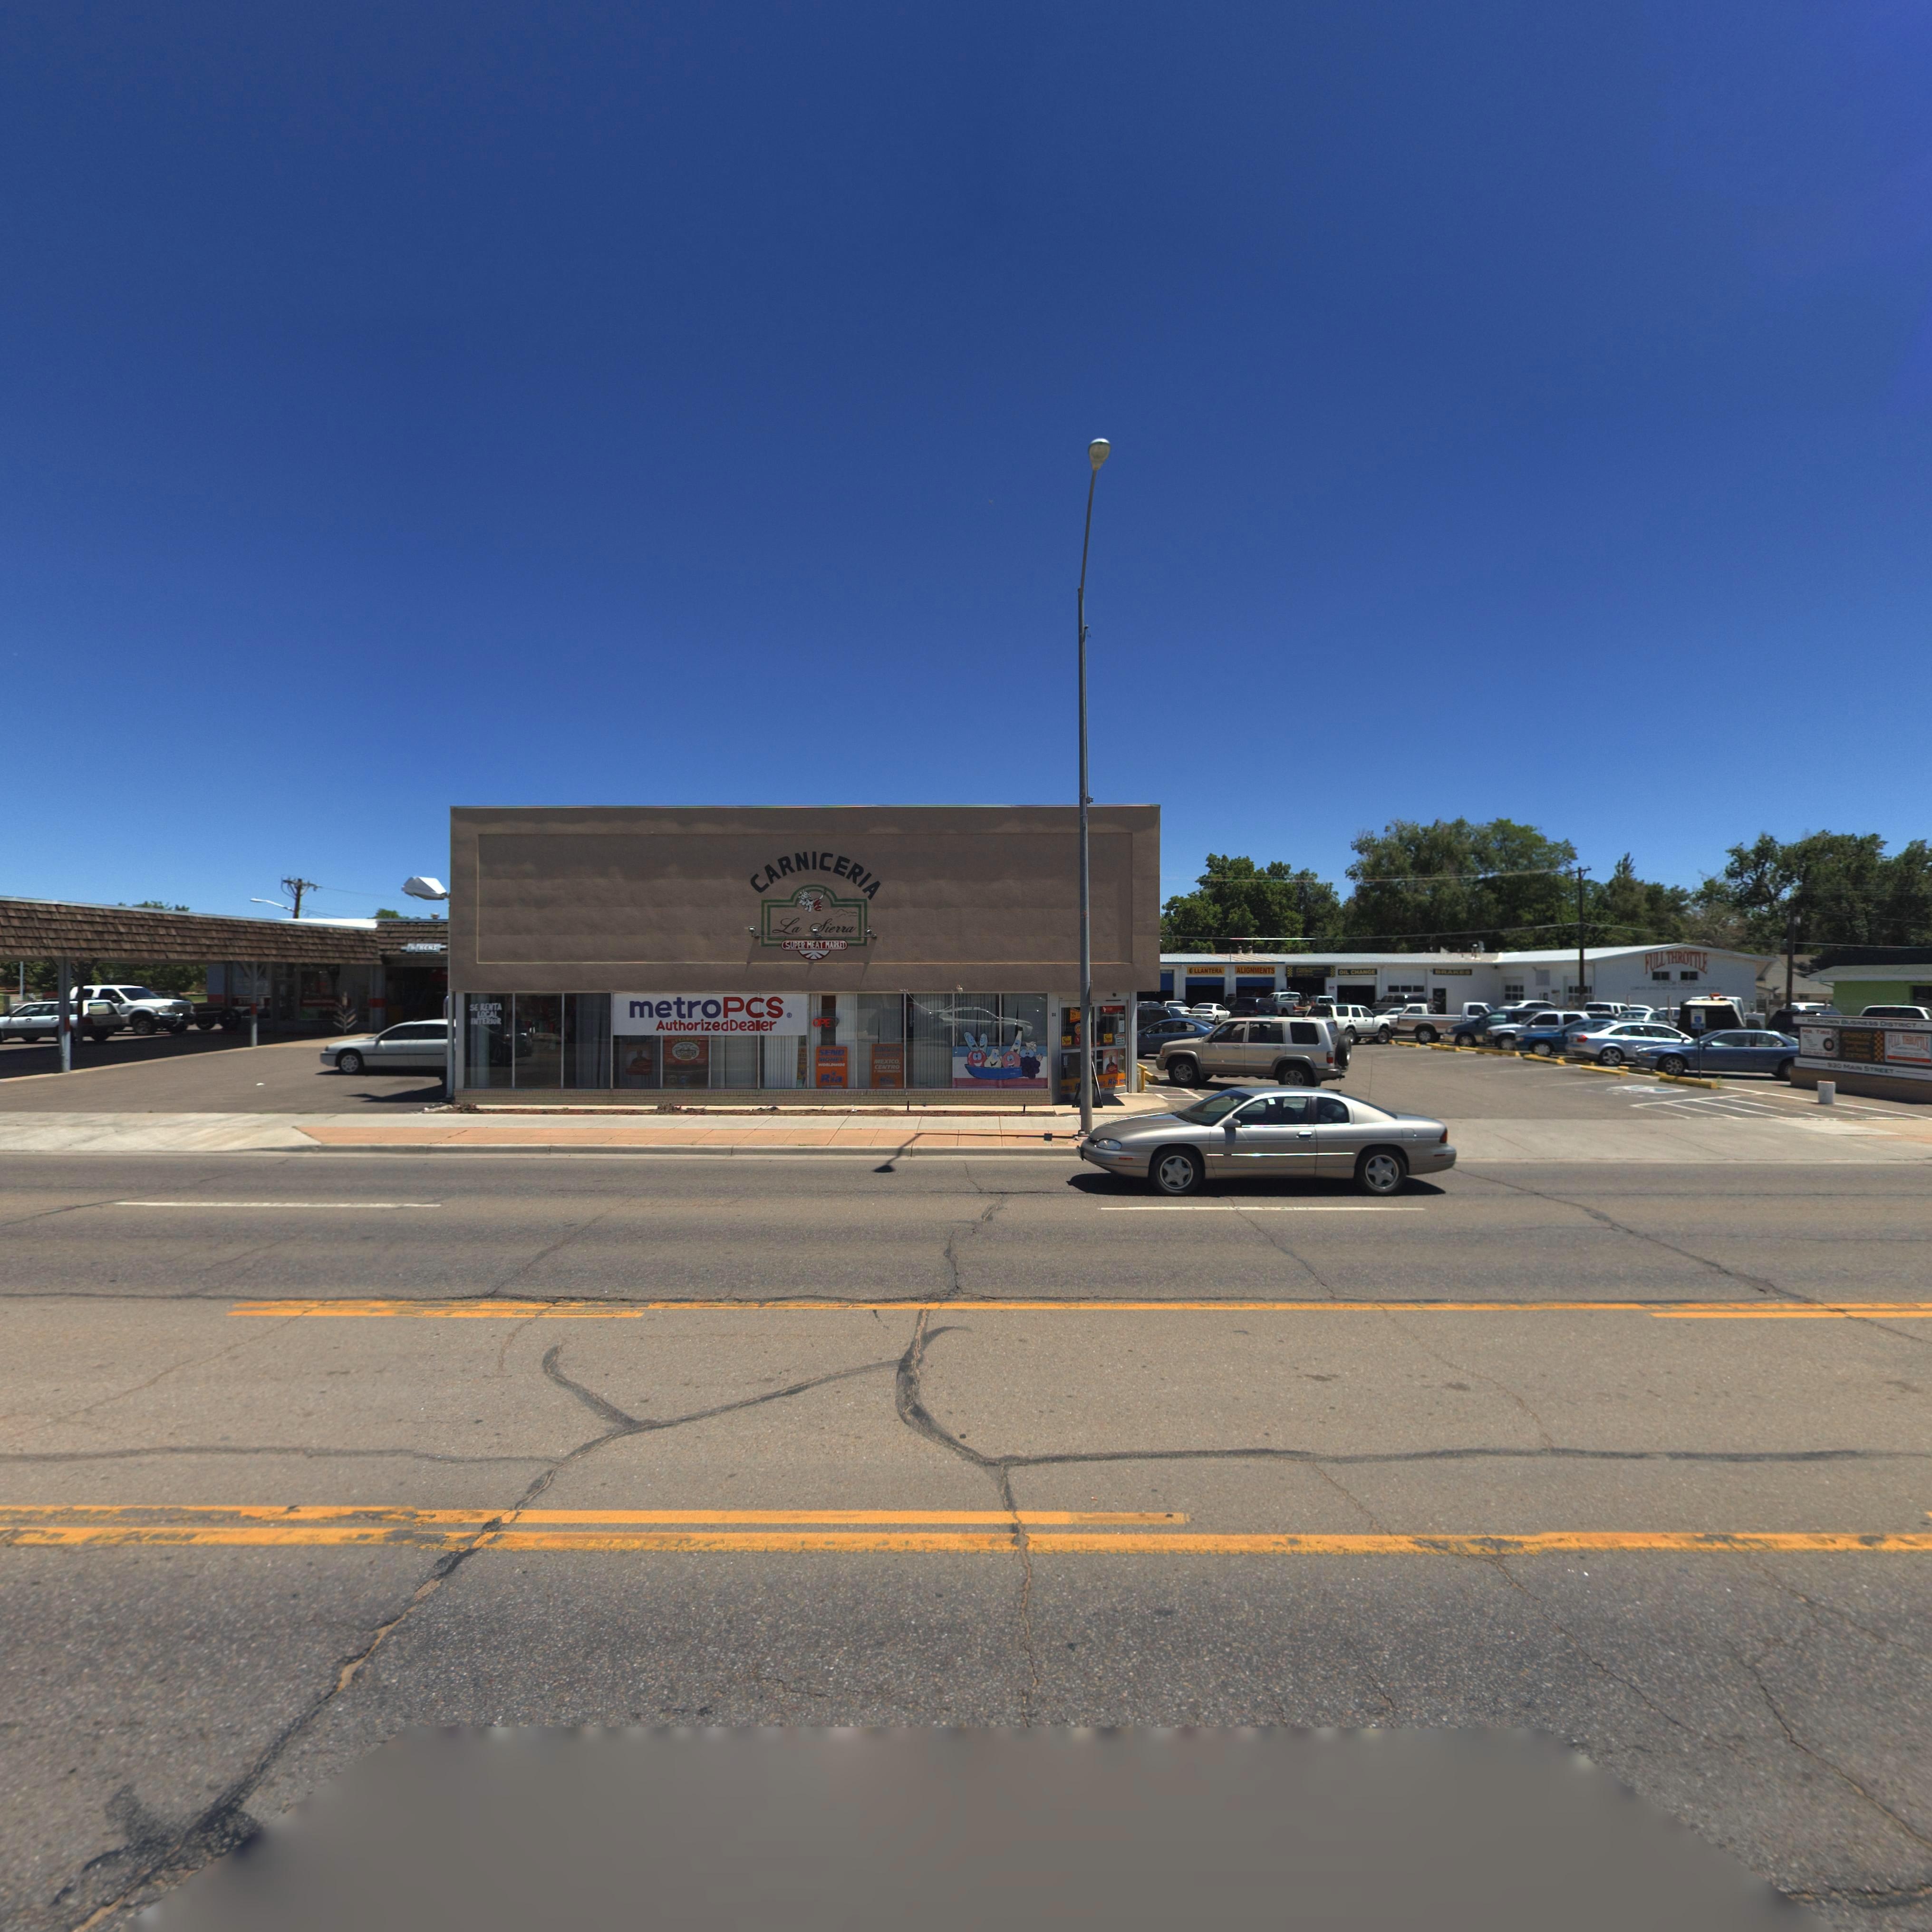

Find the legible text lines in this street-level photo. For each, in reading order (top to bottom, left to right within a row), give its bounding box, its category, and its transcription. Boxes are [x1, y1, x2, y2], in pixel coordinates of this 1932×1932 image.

[772, 916, 858, 935] BusinessName: La Sierra
[418, 945, 437, 950] BusinessName: KENS
[1644, 950, 1708, 975] BusinessName: FULL THROTTLE
[1801, 1028, 1835, 1035] BusinessName: MR. T***S
[1841, 1031, 1873, 1039] BusinessName: AD*****
[1887, 1034, 1930, 1053] BusinessName: FULL T***TTLE
[1826, 1062, 1842, 1069] StreetNumber: 930
[1843, 1063, 1893, 1074] StreetName: MAIN STREET